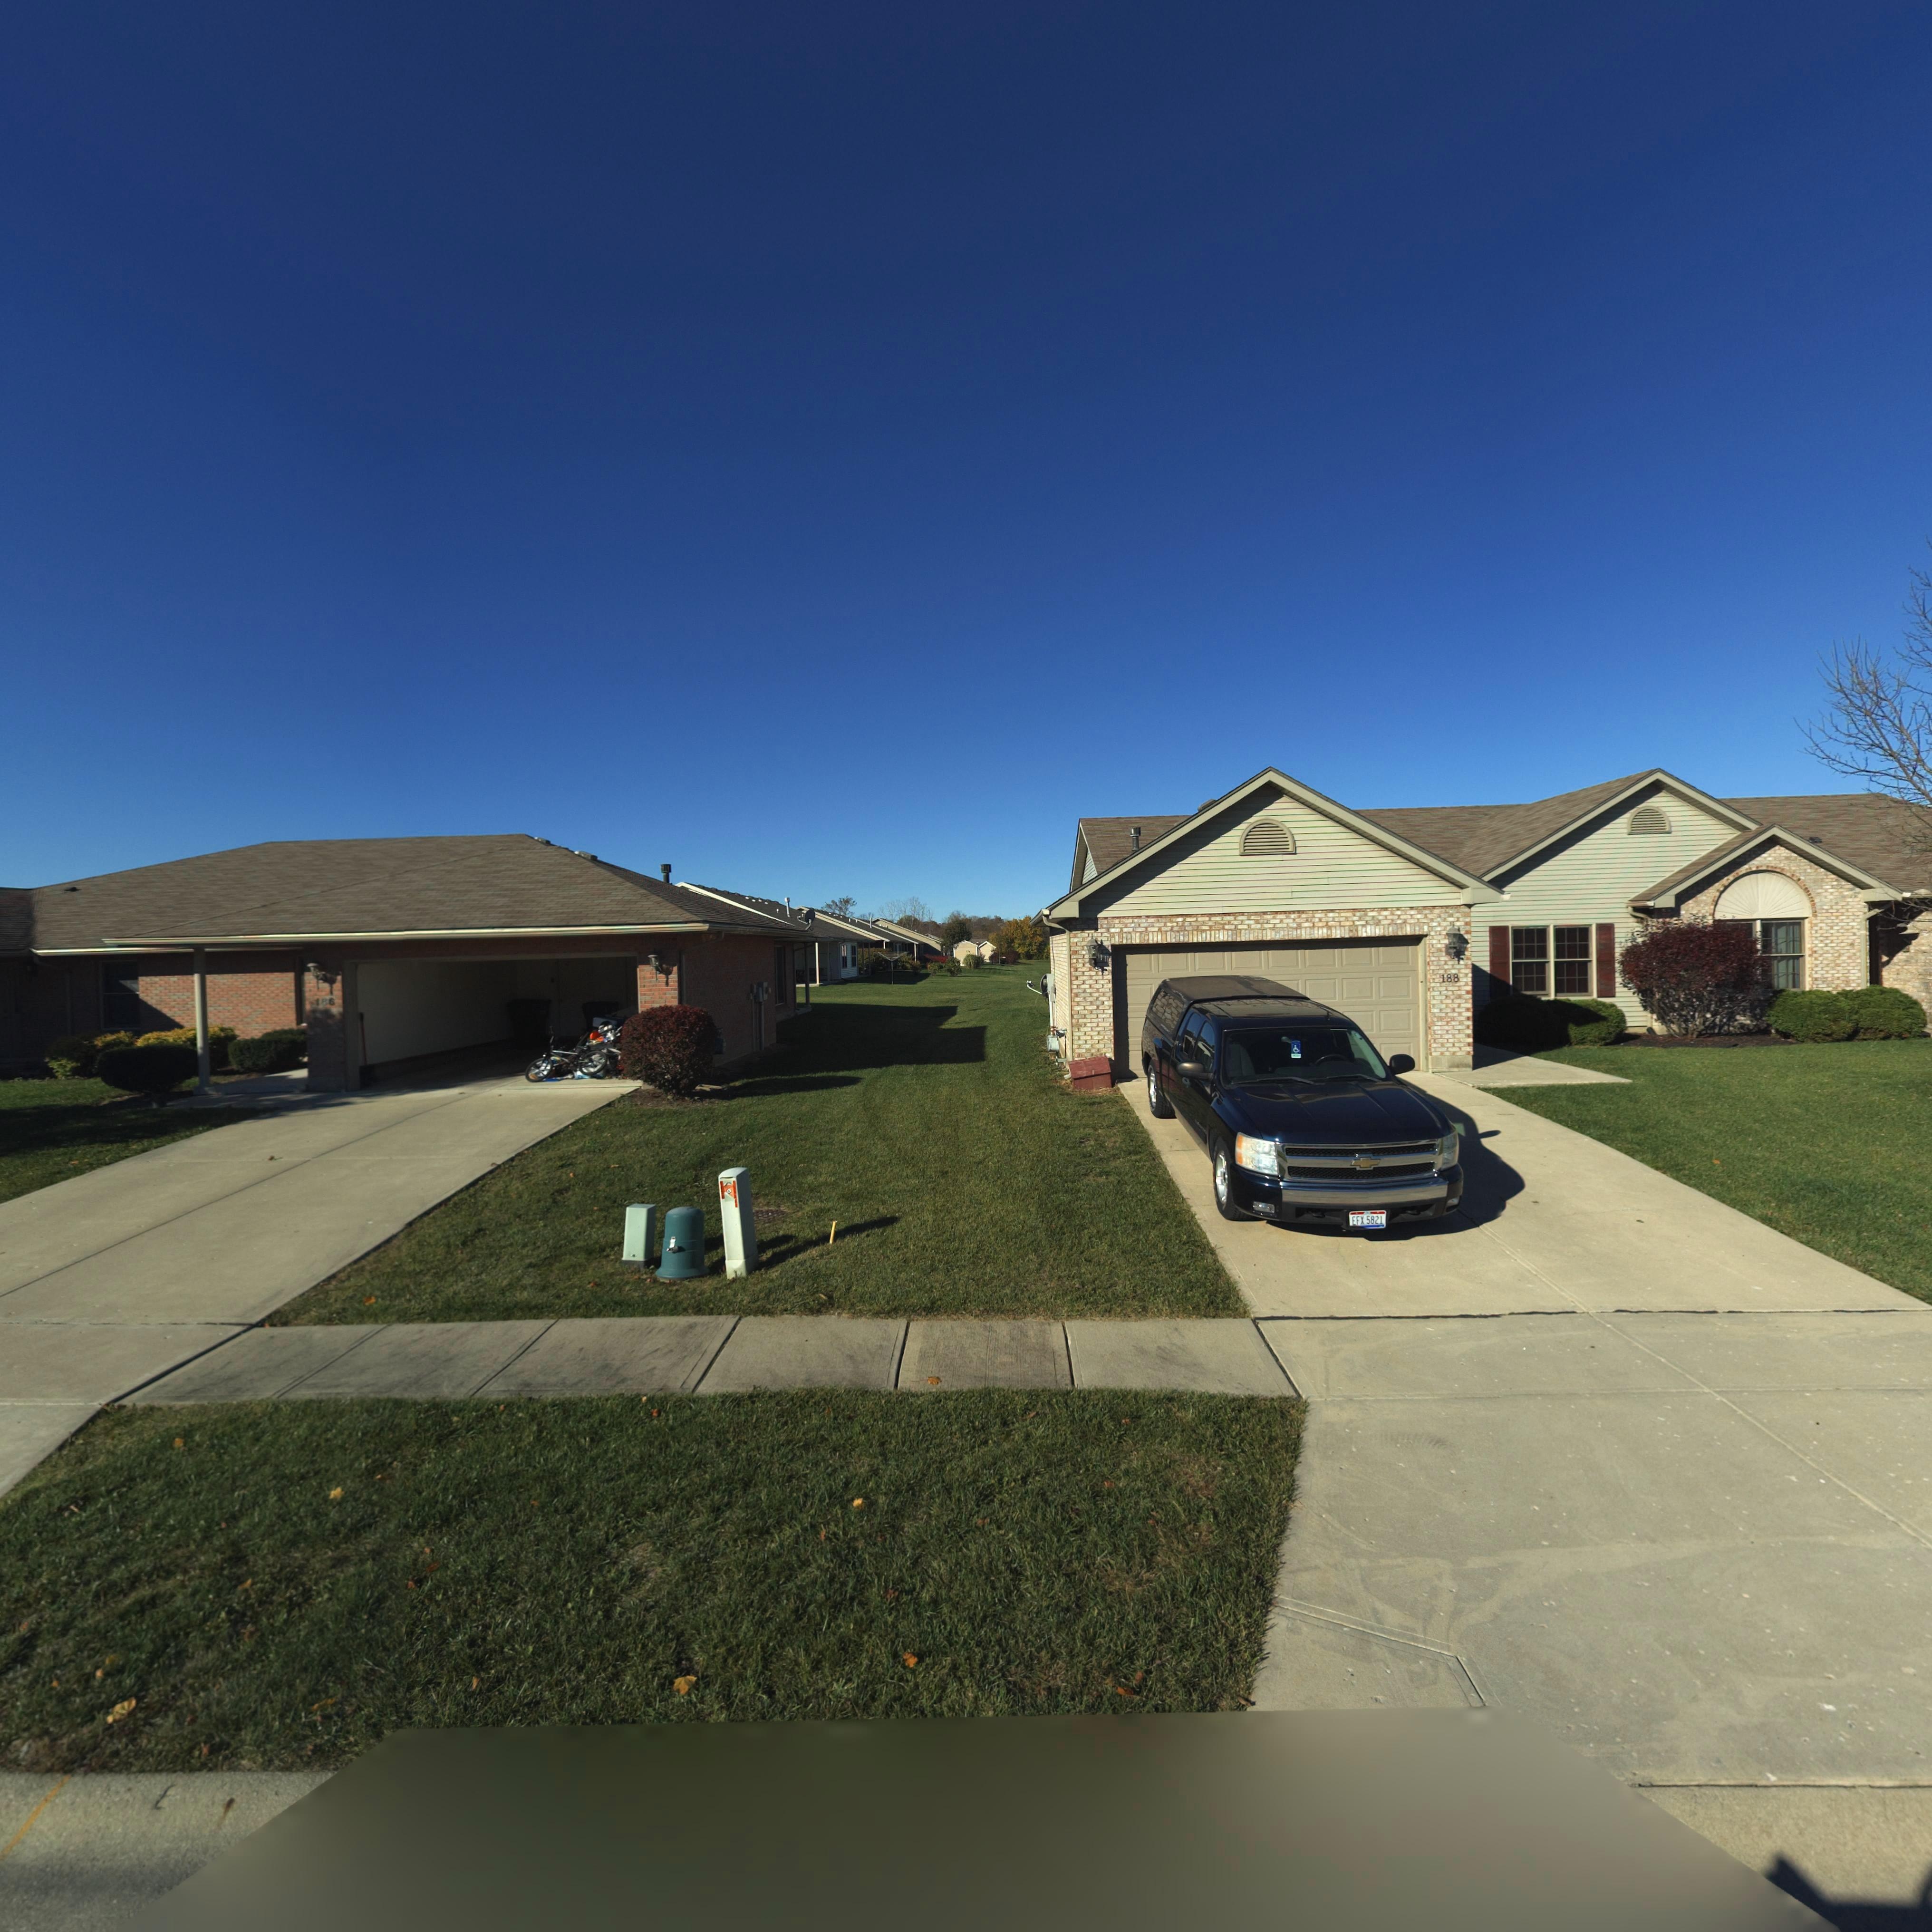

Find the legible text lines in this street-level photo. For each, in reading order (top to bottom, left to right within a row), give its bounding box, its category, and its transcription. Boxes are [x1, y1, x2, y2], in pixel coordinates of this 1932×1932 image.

[1440, 972, 1461, 984] StreetNumber: 188
[313, 996, 337, 1008] StreetNumber: 186